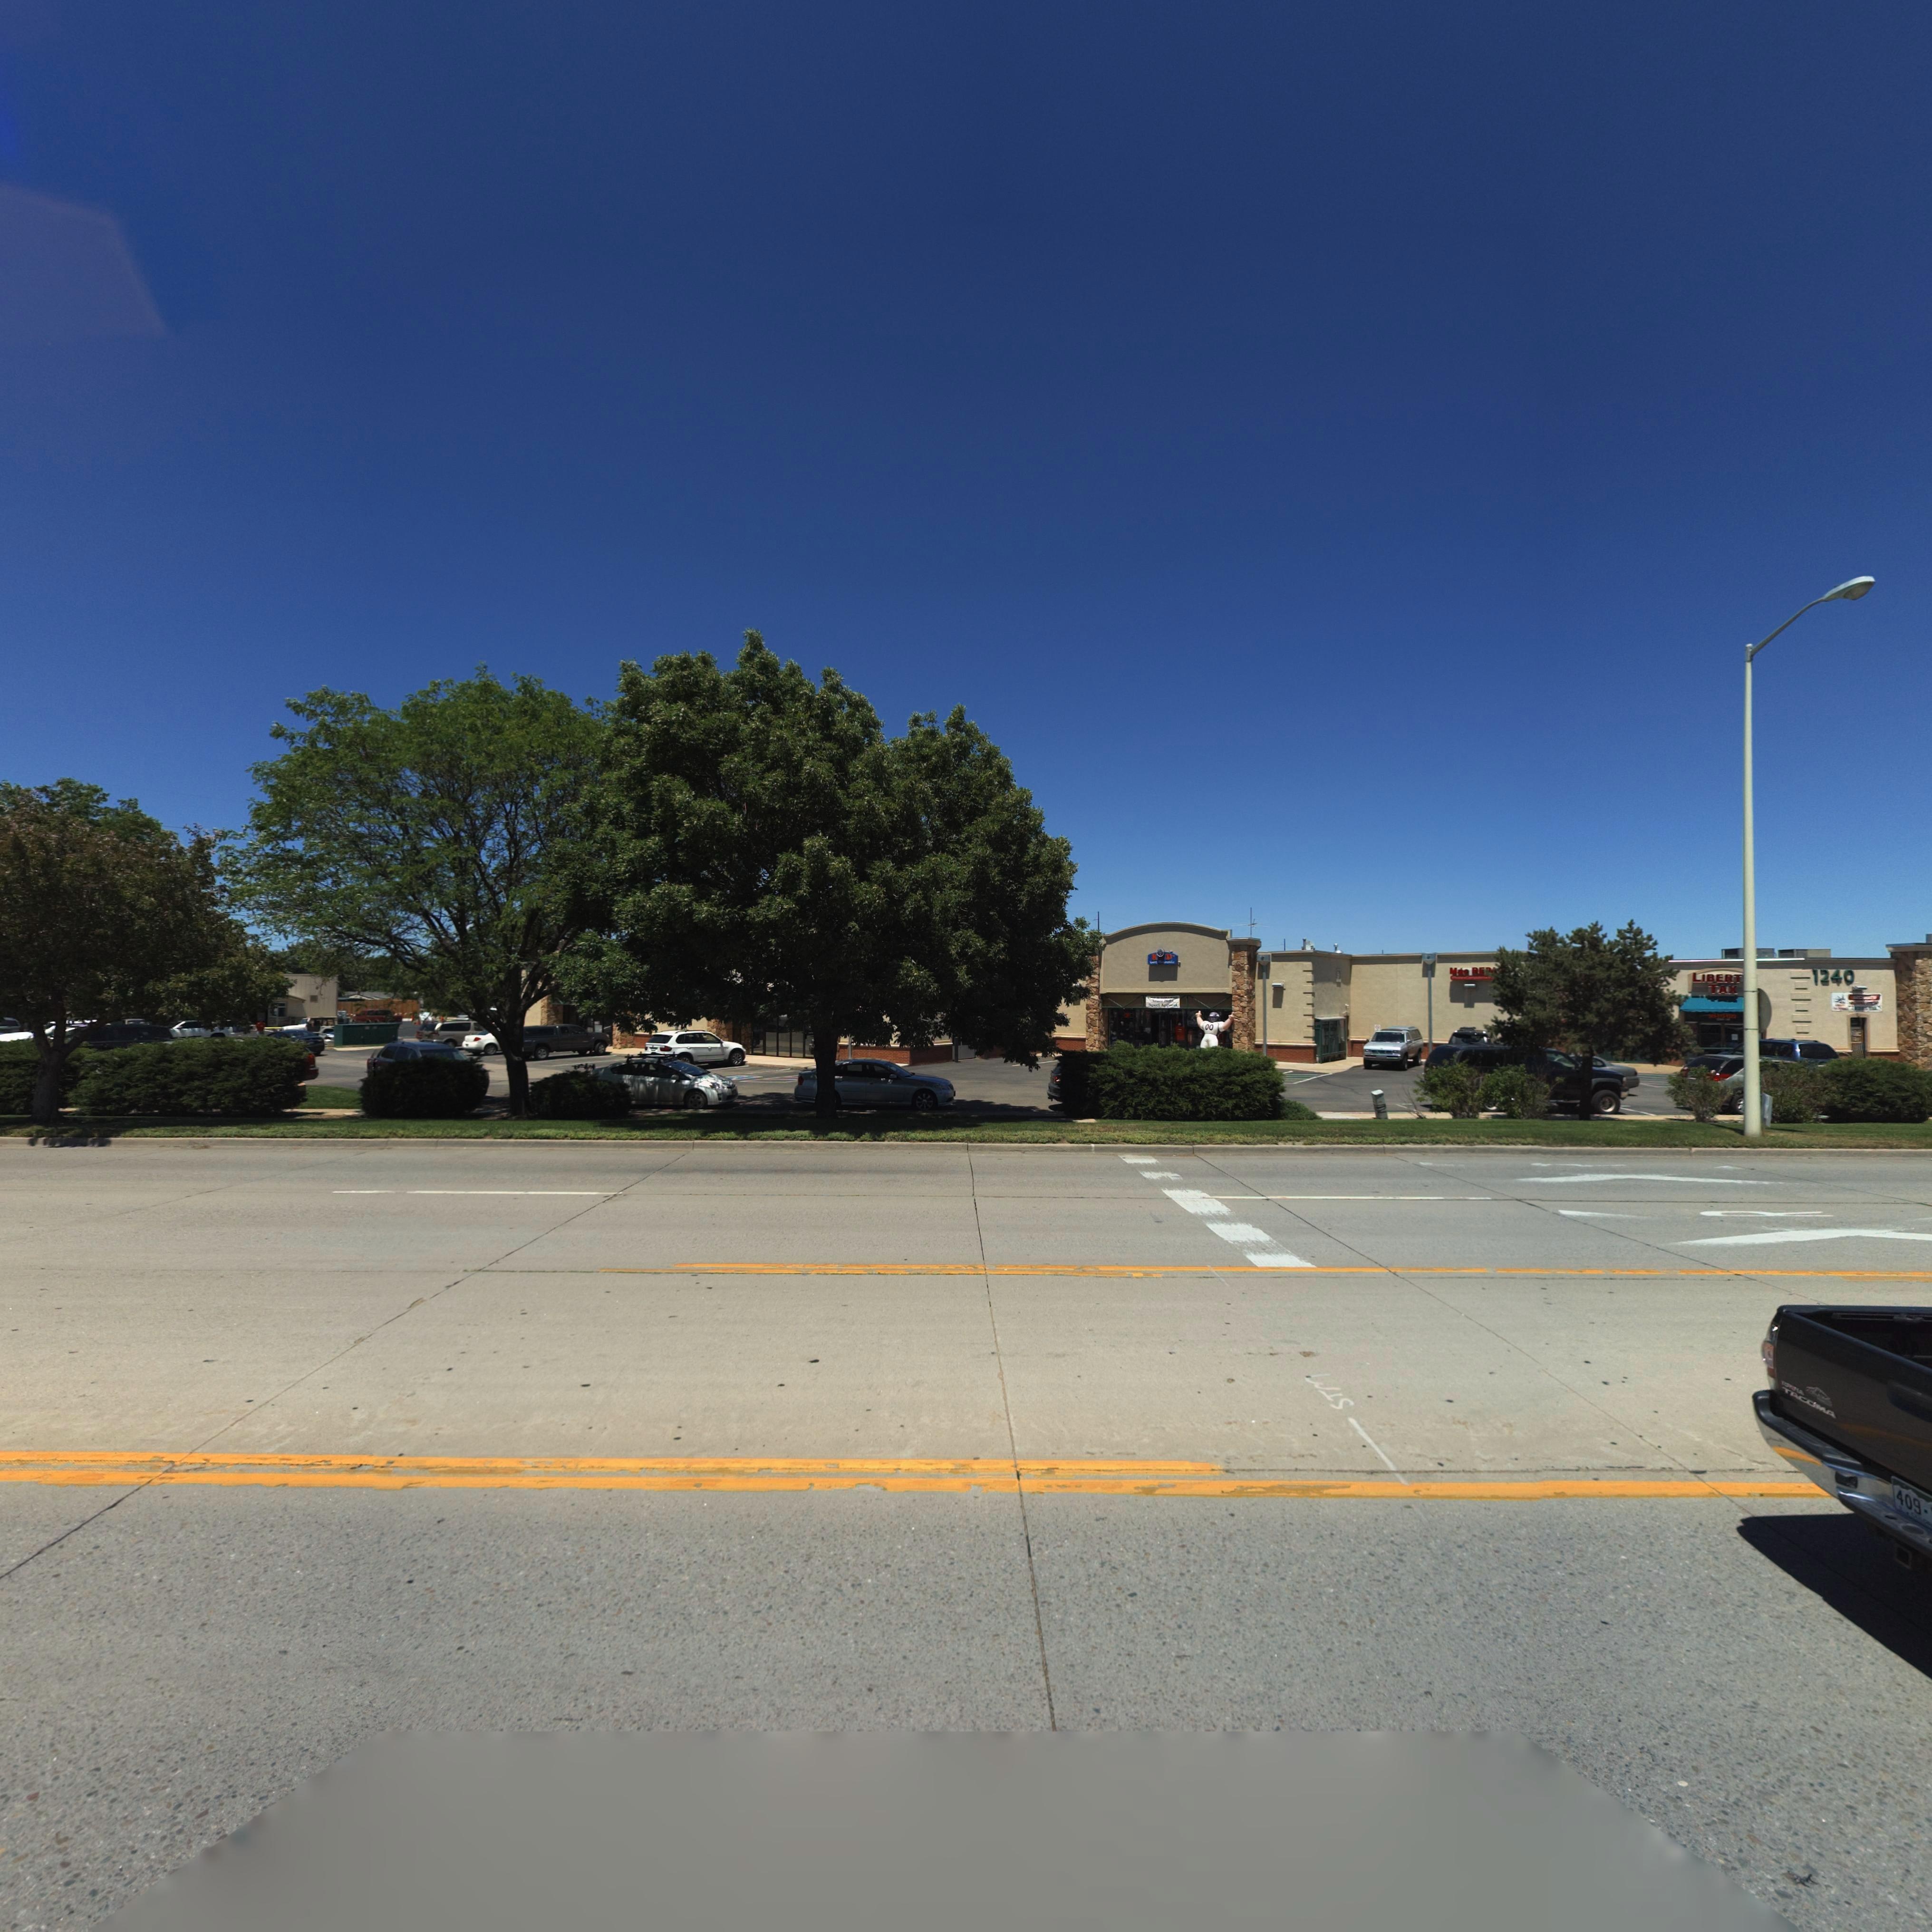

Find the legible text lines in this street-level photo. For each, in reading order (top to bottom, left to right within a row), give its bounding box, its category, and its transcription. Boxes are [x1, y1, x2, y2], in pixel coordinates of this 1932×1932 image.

[1151, 953, 1172, 960] BusinessName: K D
[1449, 966, 1485, 975] BusinessName: Ma* RE
[1692, 972, 1743, 983] BusinessName: LIBERT
[1811, 967, 1855, 982] StreetNumber: 1240
[1707, 984, 1738, 994] BusinessName: TAX